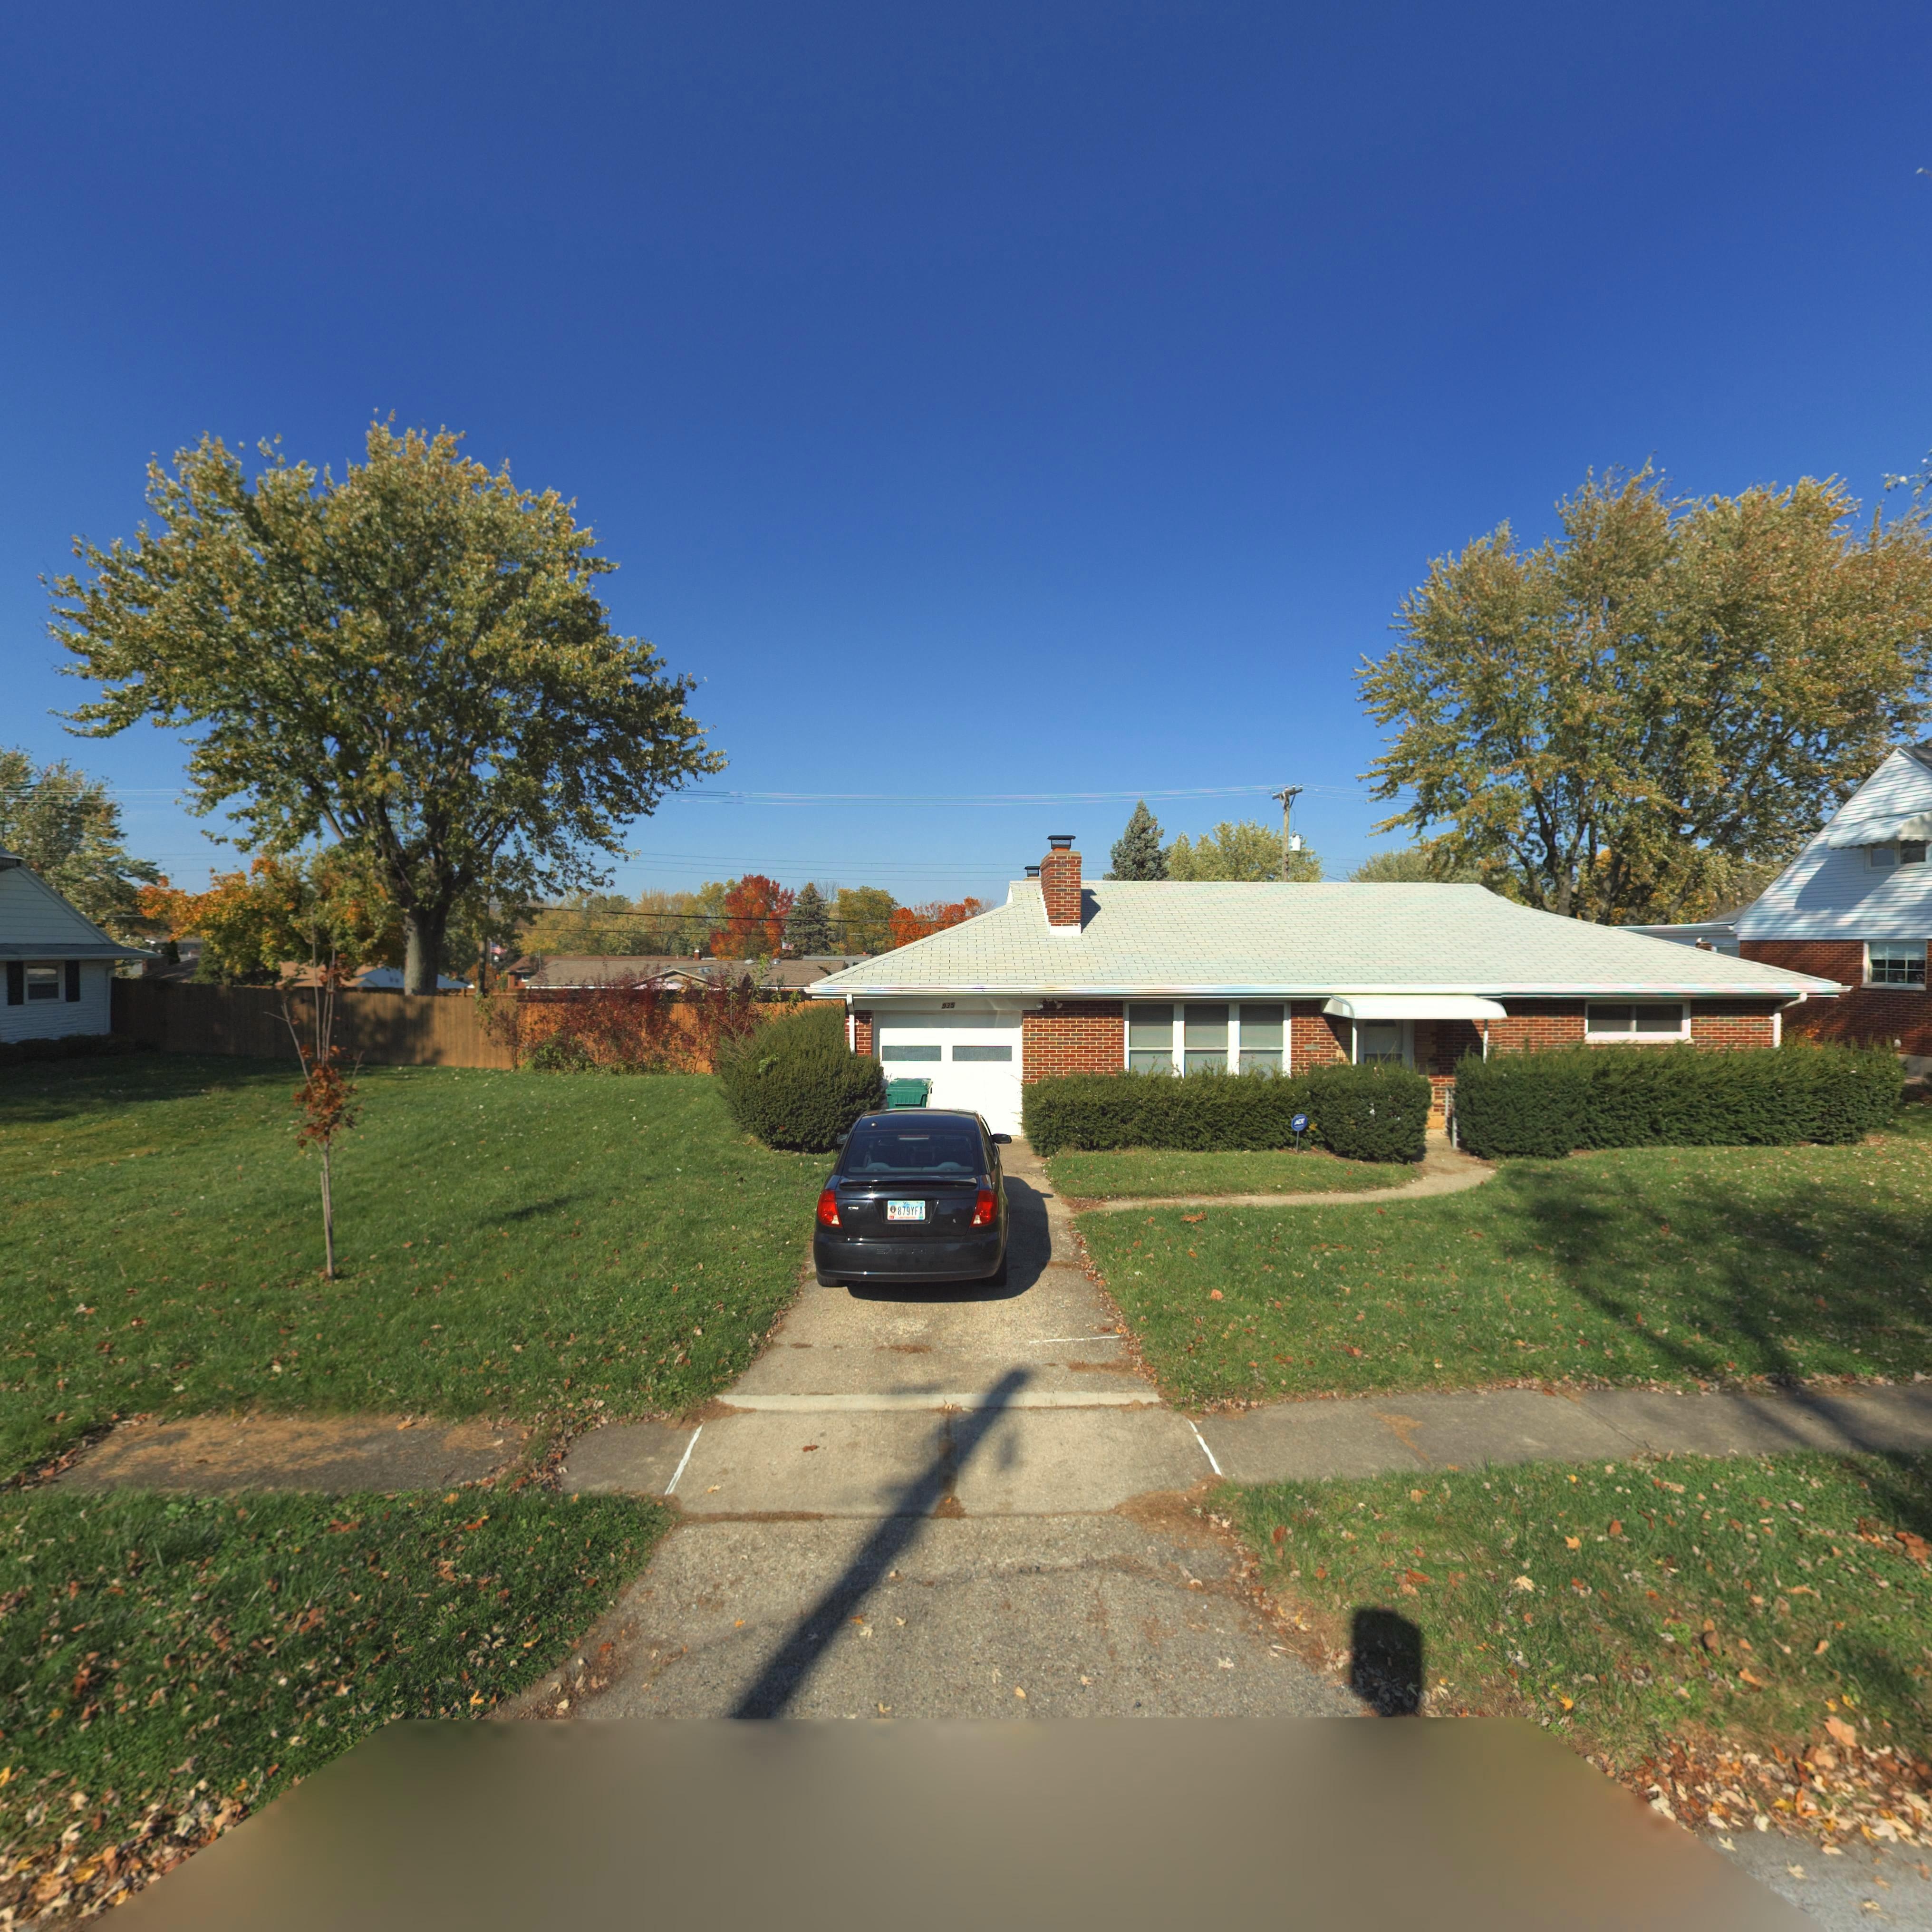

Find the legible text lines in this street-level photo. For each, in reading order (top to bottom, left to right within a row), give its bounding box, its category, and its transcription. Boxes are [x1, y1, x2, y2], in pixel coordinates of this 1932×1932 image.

[941, 1002, 956, 1009] StreetNumber: 935
[1293, 1118, 1305, 1125] None: ADT
[898, 1206, 923, 1216] None: 879YFA